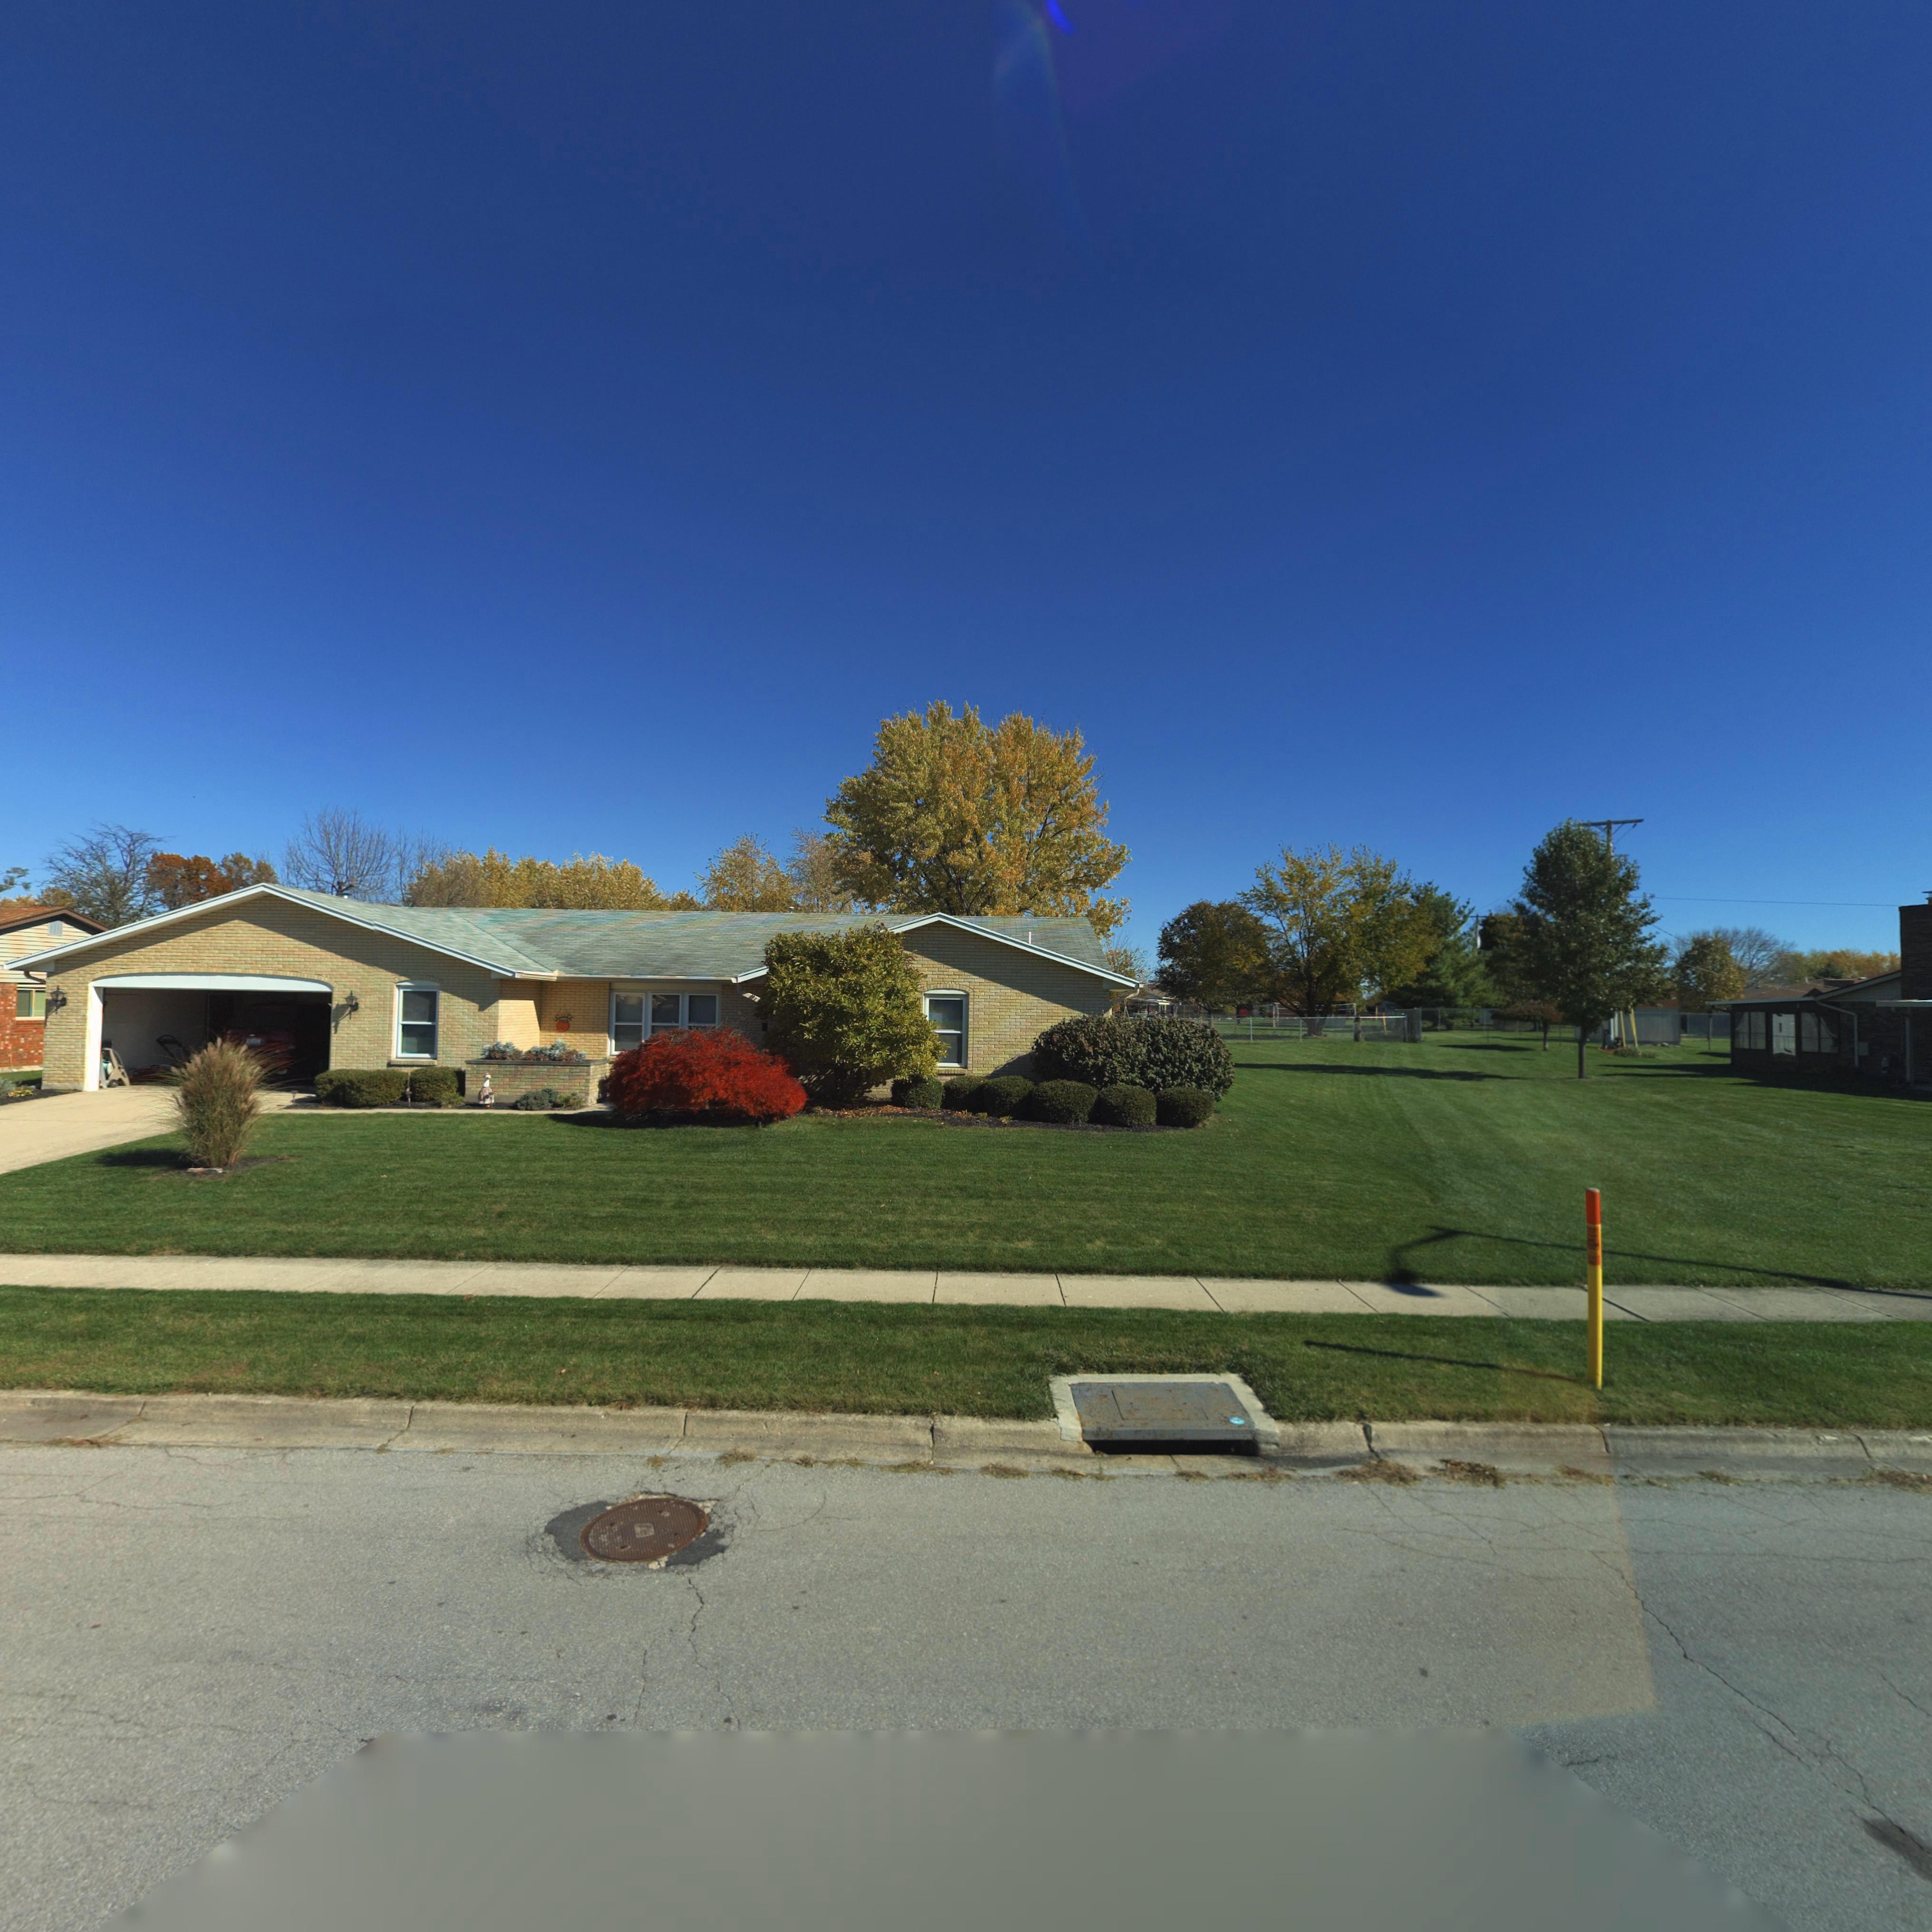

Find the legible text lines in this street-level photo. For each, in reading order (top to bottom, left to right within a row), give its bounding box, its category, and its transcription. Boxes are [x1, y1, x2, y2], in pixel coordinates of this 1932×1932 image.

[737, 1009, 750, 1028] StreetNumber: *7*